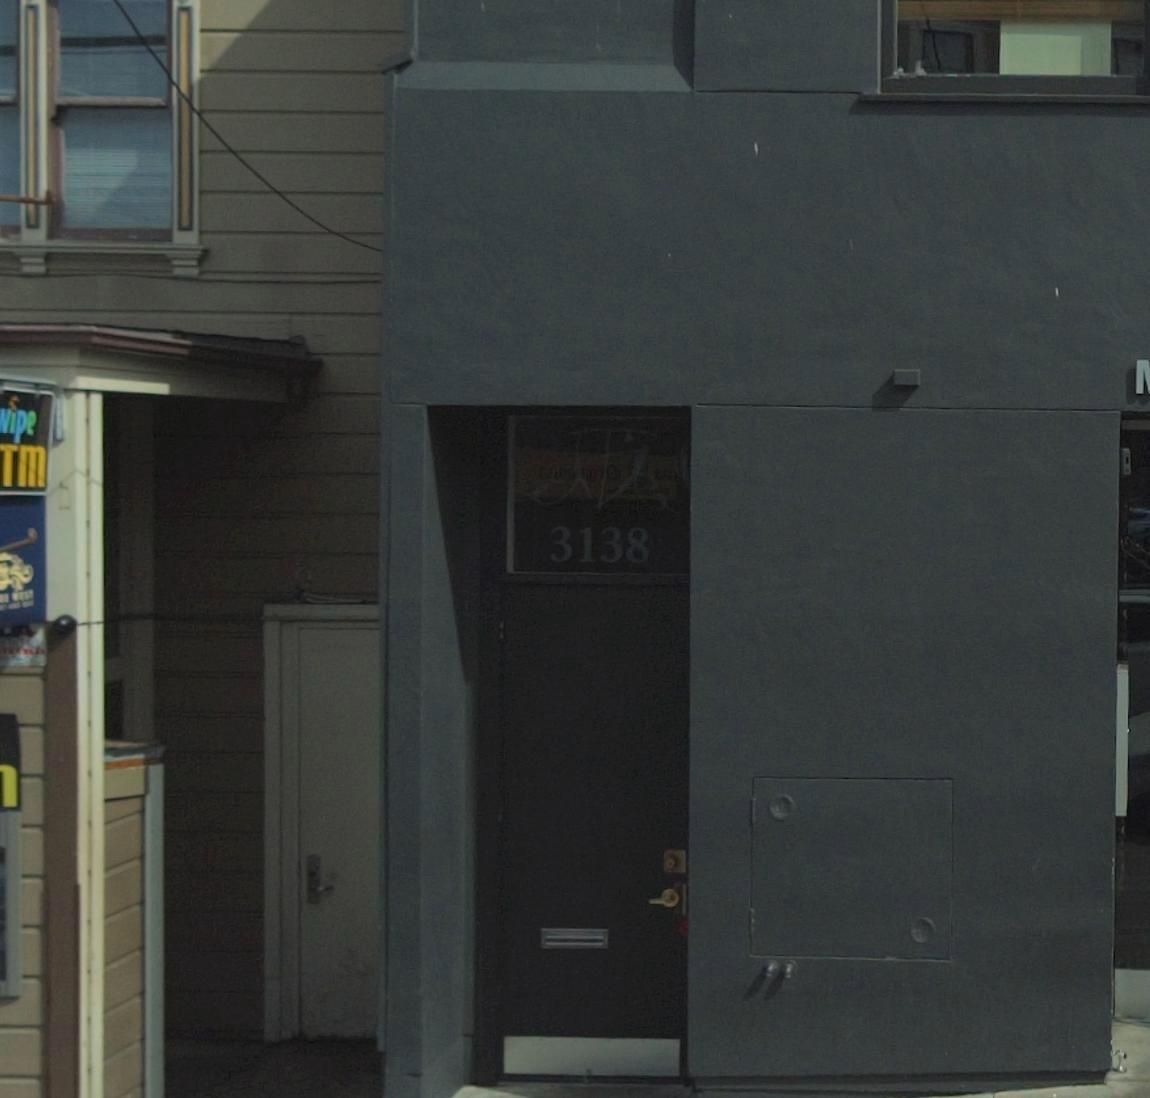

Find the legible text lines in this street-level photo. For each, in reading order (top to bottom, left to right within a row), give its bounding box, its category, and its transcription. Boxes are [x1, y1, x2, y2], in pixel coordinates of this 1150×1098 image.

[6, 408, 40, 446] None: ipe
[0, 441, 48, 490] None: TM
[547, 523, 653, 567] StreetNumber: 3138